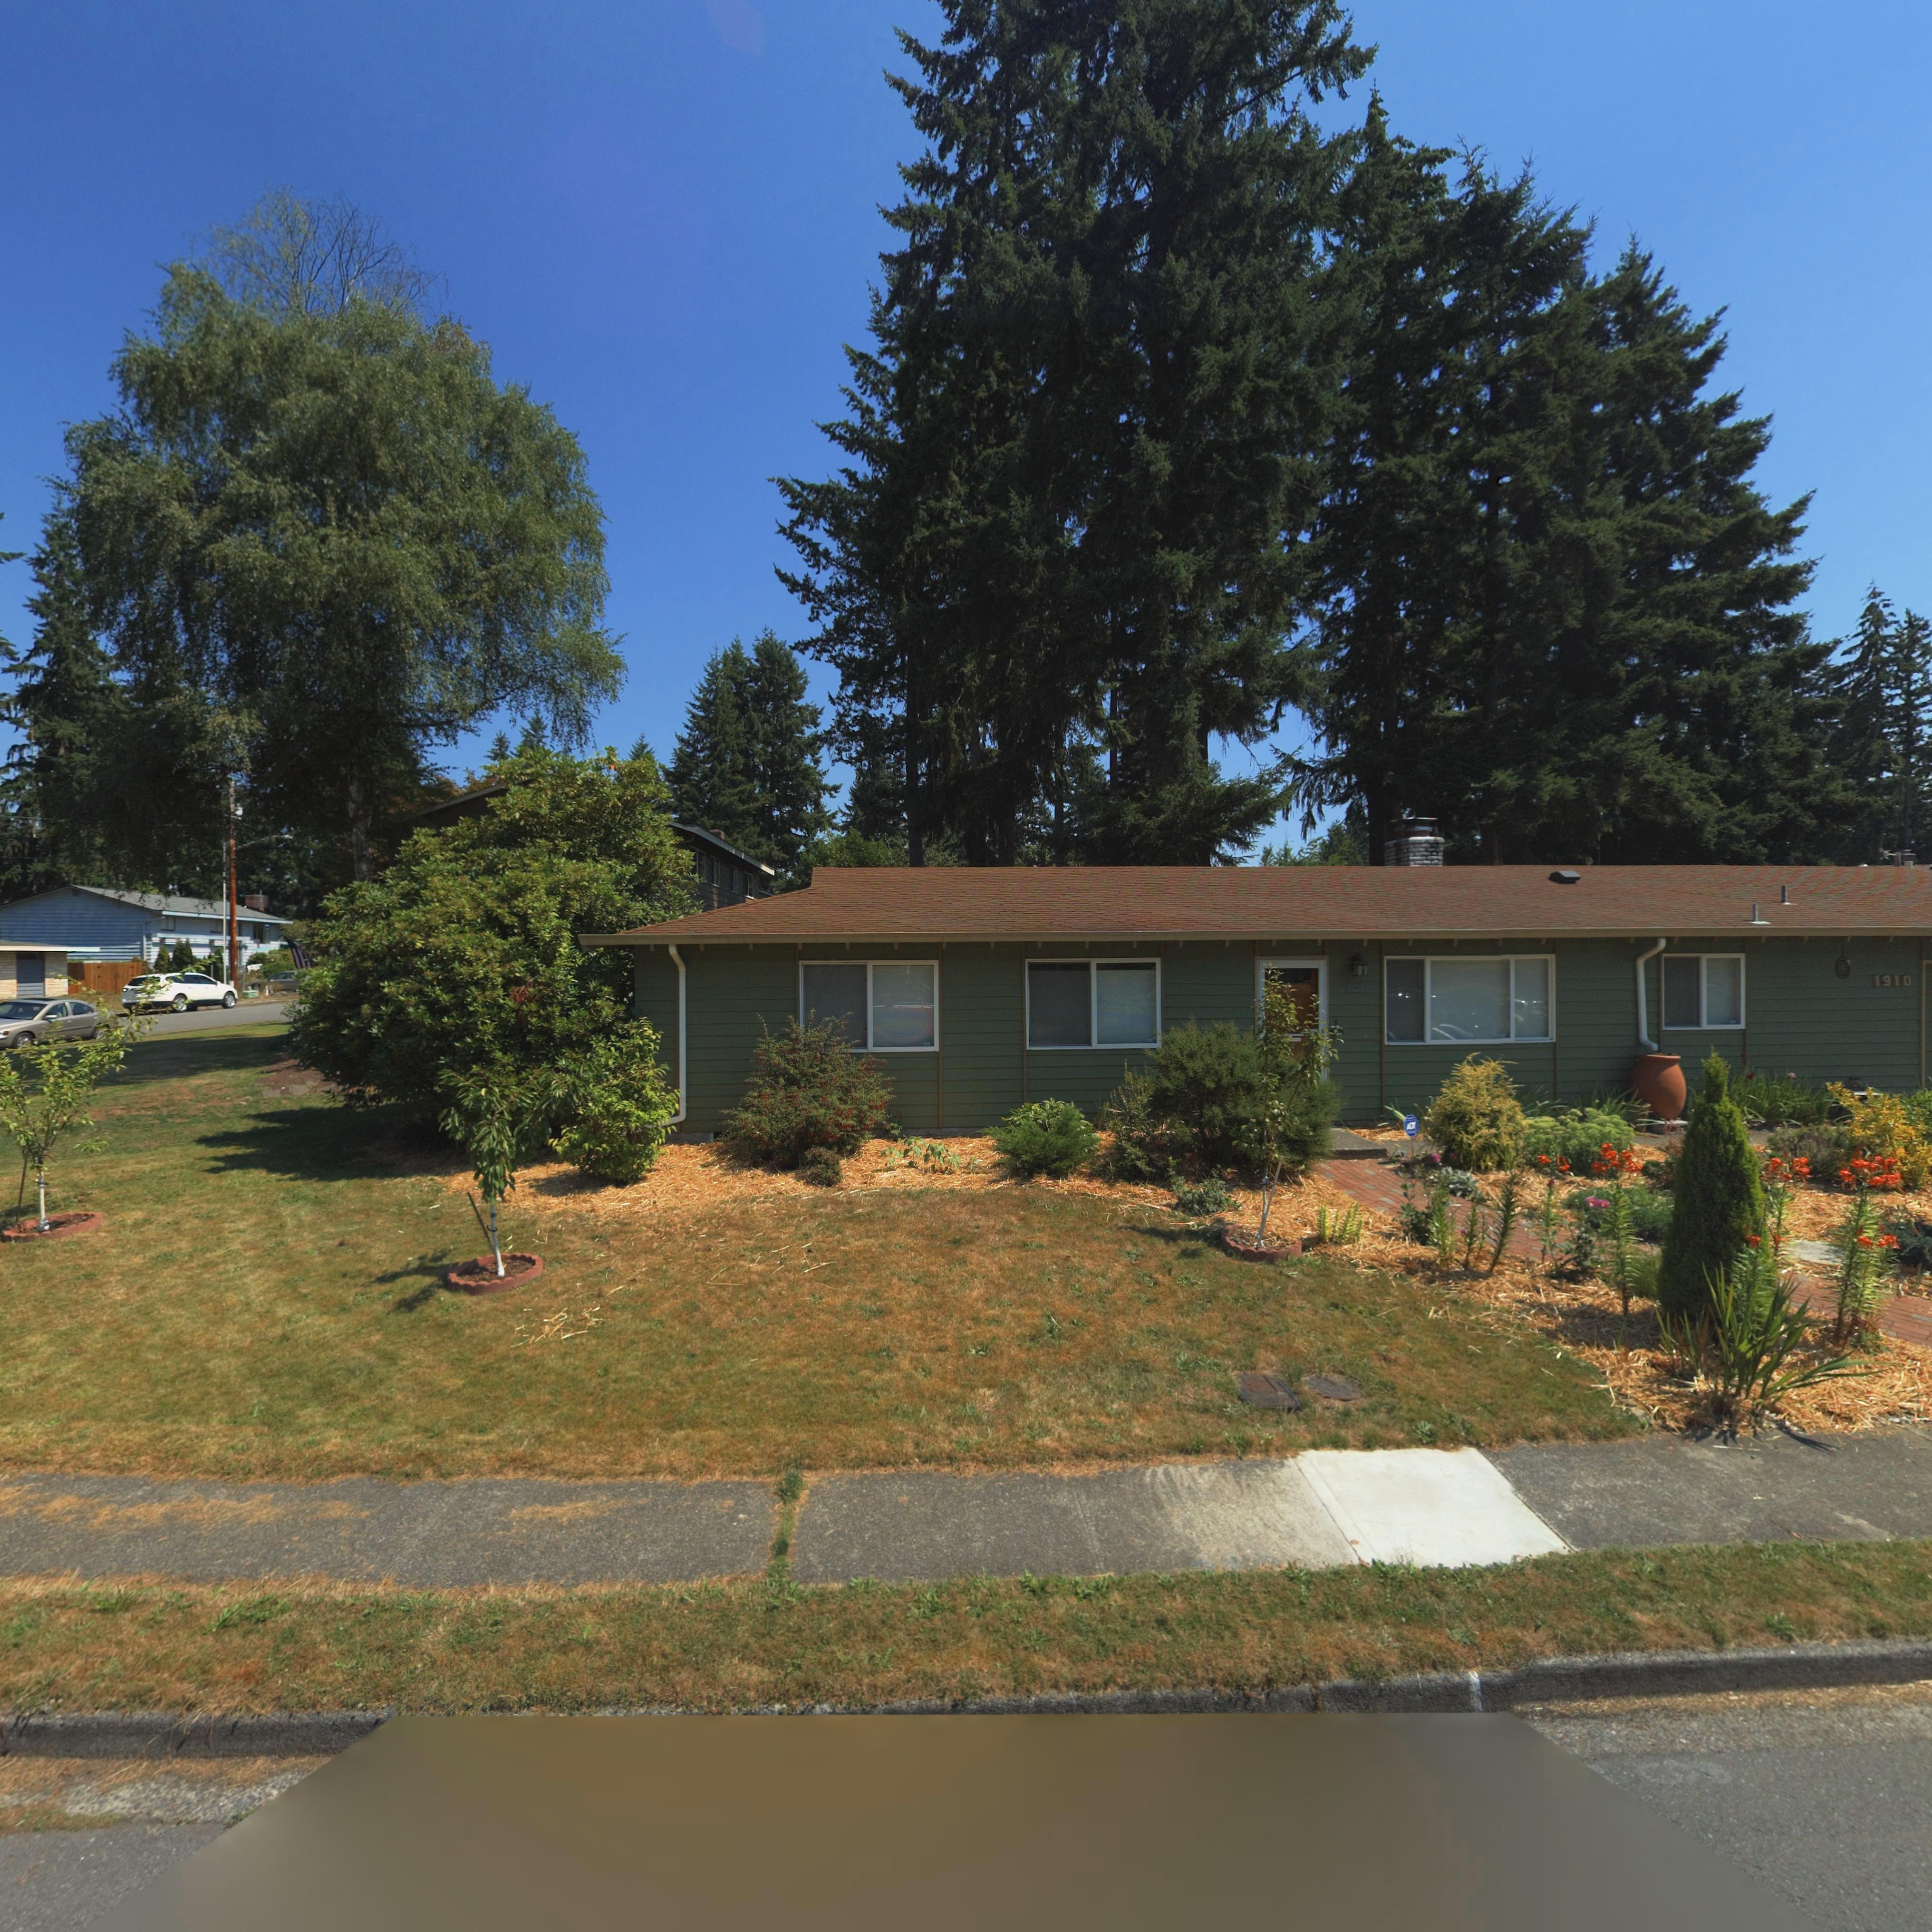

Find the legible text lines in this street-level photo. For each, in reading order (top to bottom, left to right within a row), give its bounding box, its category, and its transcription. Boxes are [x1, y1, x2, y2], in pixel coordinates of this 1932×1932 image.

[1875, 974, 1912, 986] StreetNumber: 1910